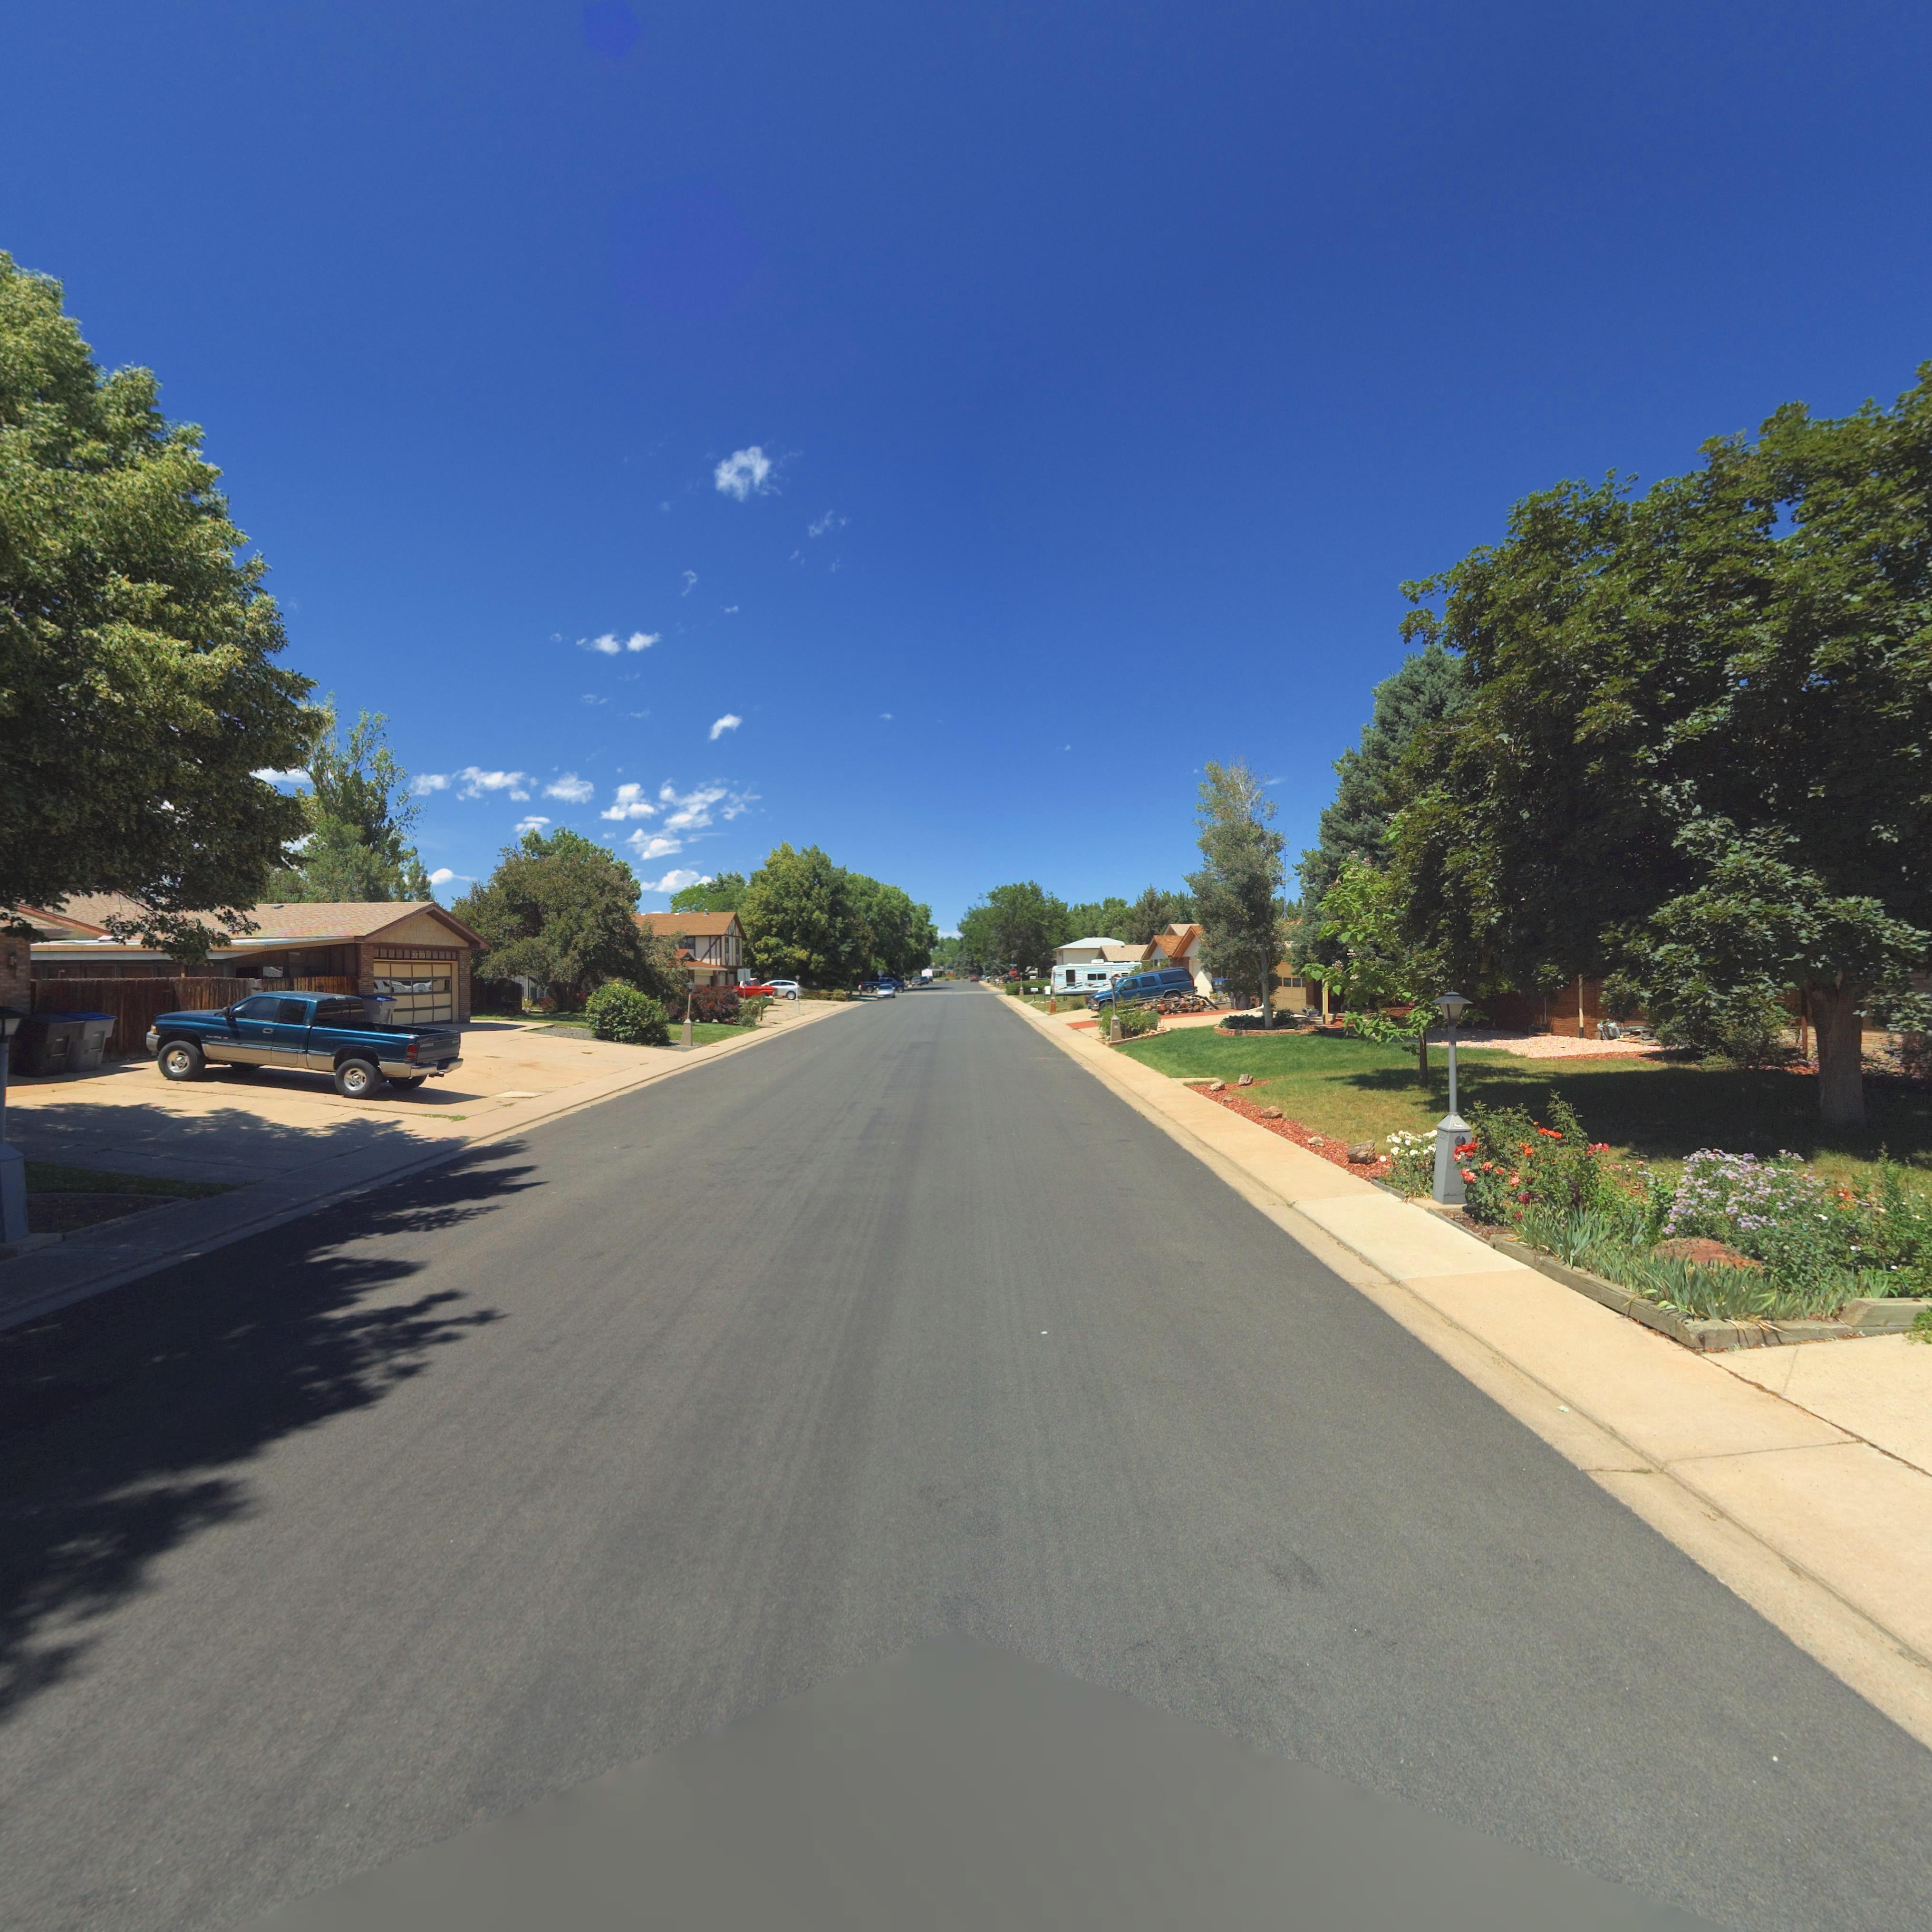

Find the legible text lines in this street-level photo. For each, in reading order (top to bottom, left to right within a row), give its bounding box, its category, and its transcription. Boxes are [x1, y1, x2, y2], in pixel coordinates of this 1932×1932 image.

[410, 952, 426, 959] StreetNumber: 2283